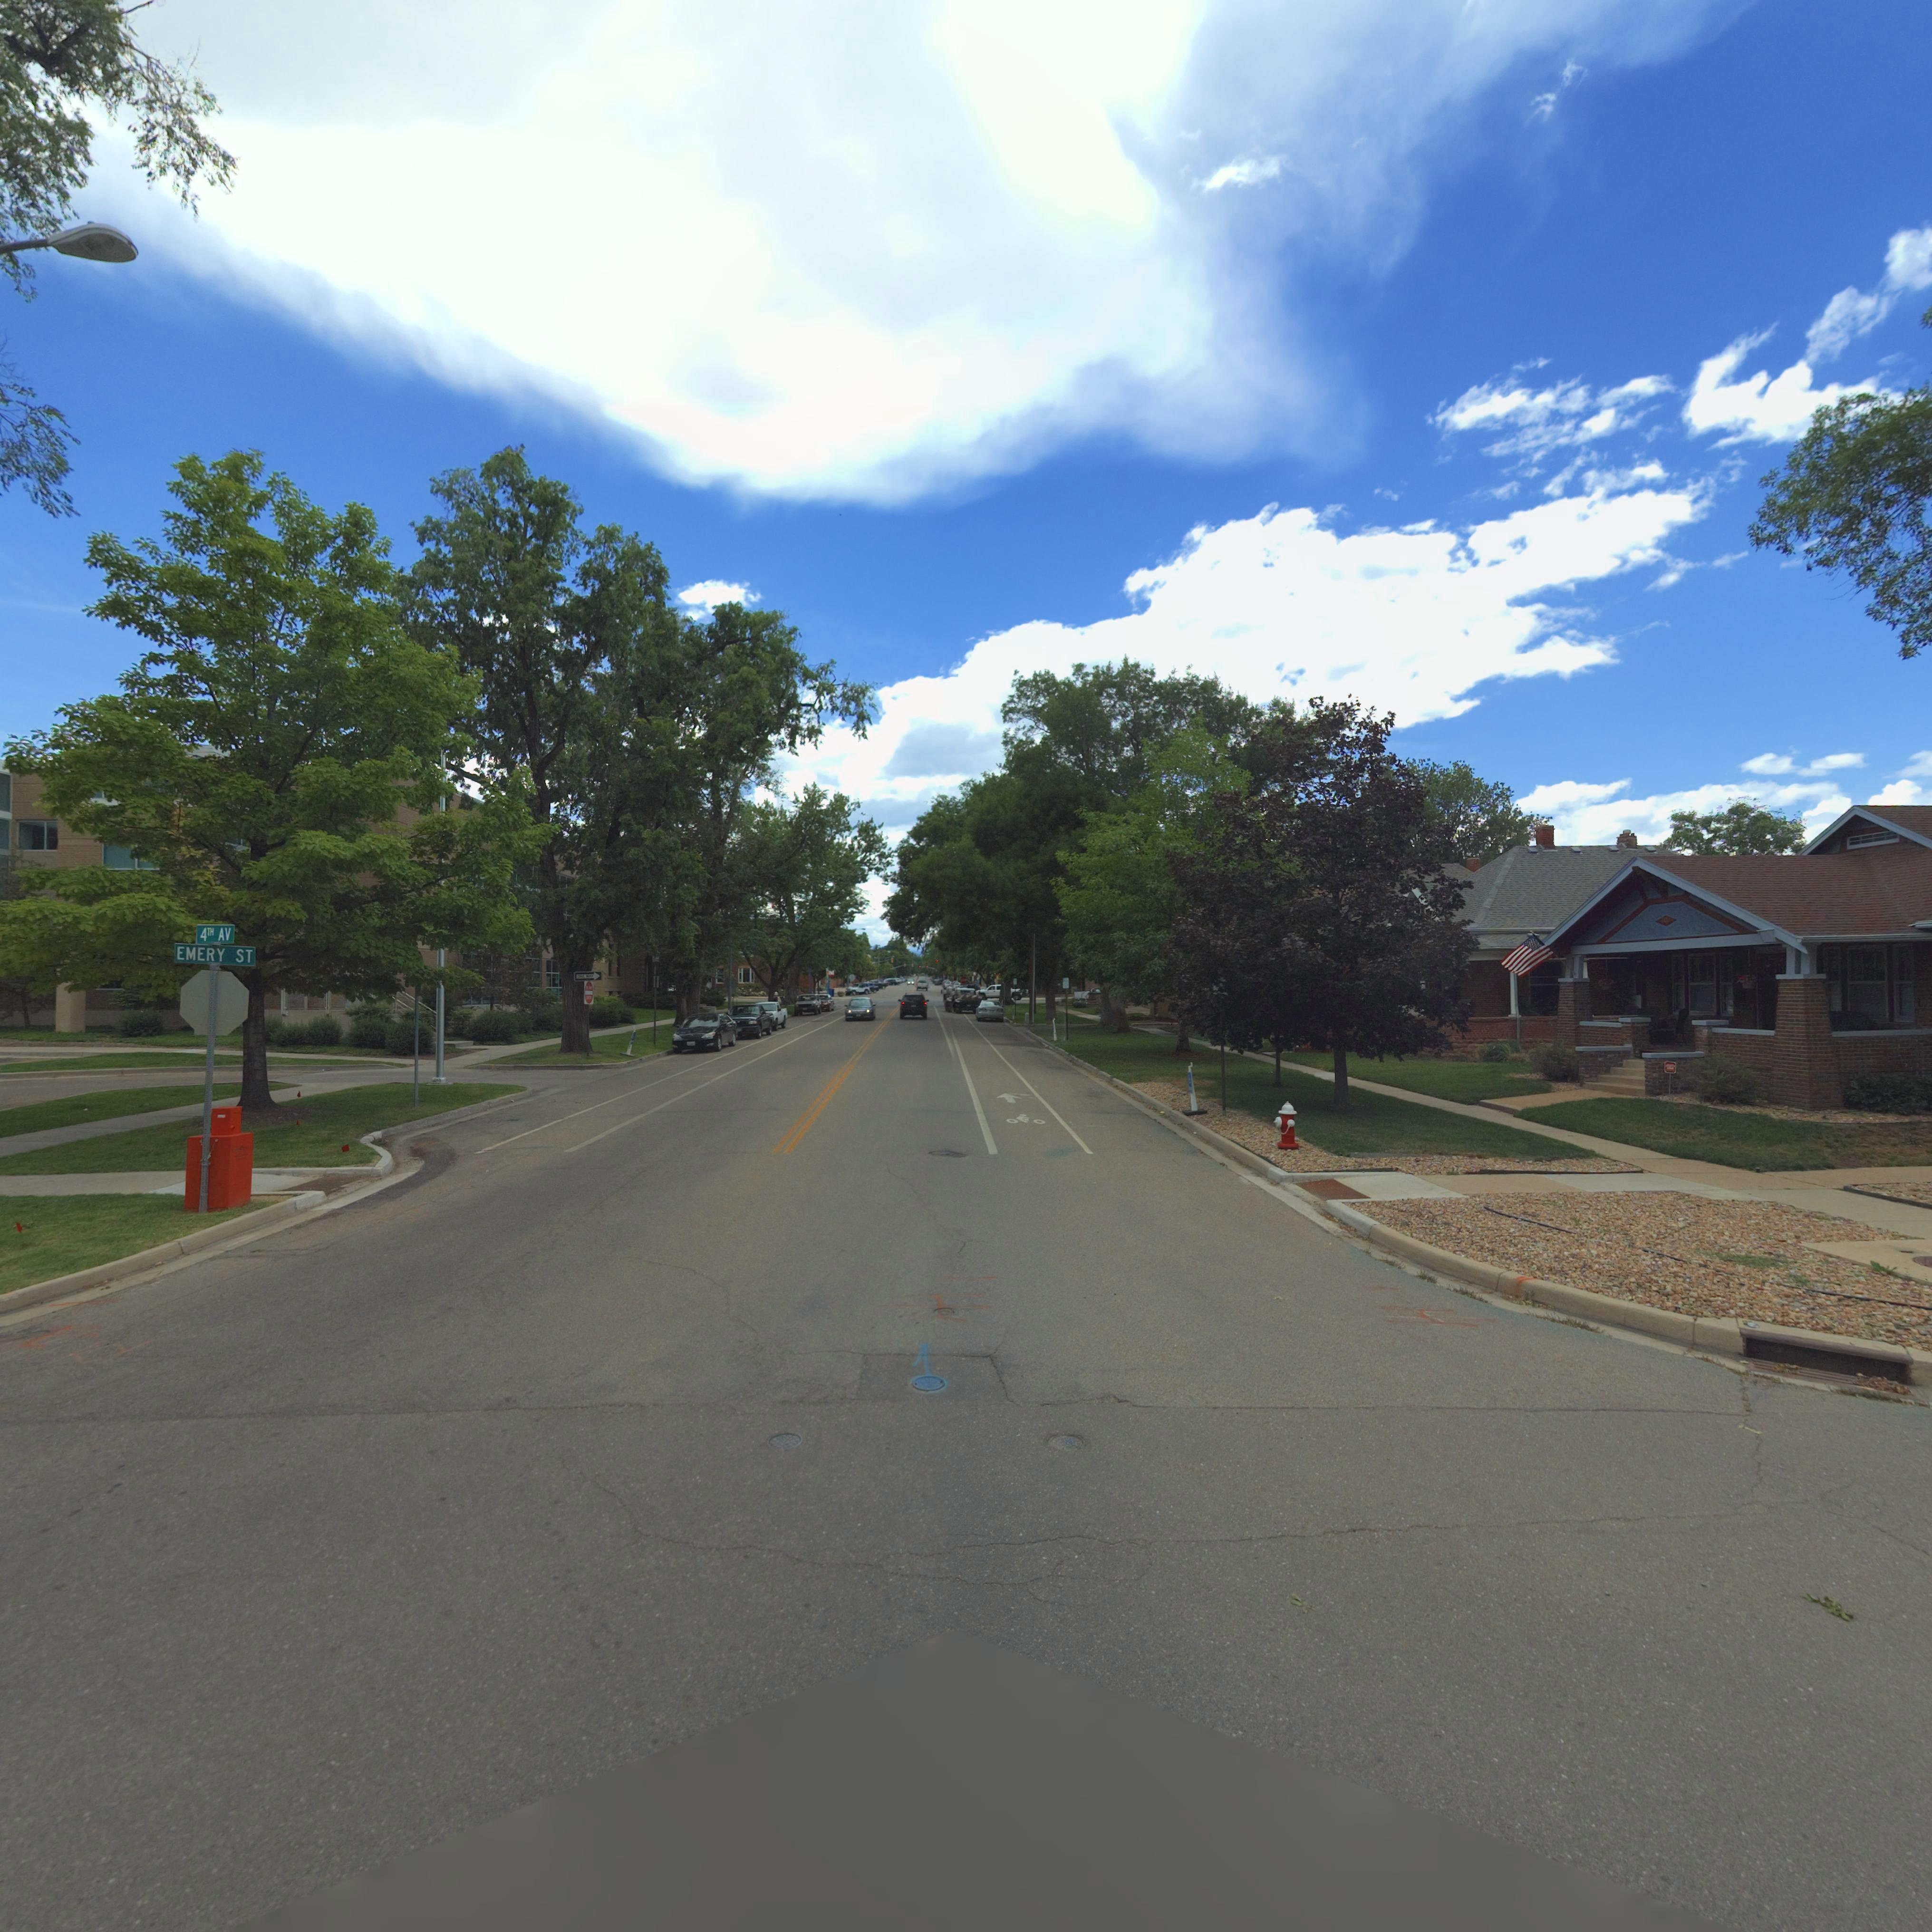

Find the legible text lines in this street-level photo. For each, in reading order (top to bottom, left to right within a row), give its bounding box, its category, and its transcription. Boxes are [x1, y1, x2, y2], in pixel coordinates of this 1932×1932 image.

[200, 927, 232, 941] StreetName: 4TH AV
[176, 945, 253, 963] StreetName: EMERY ST